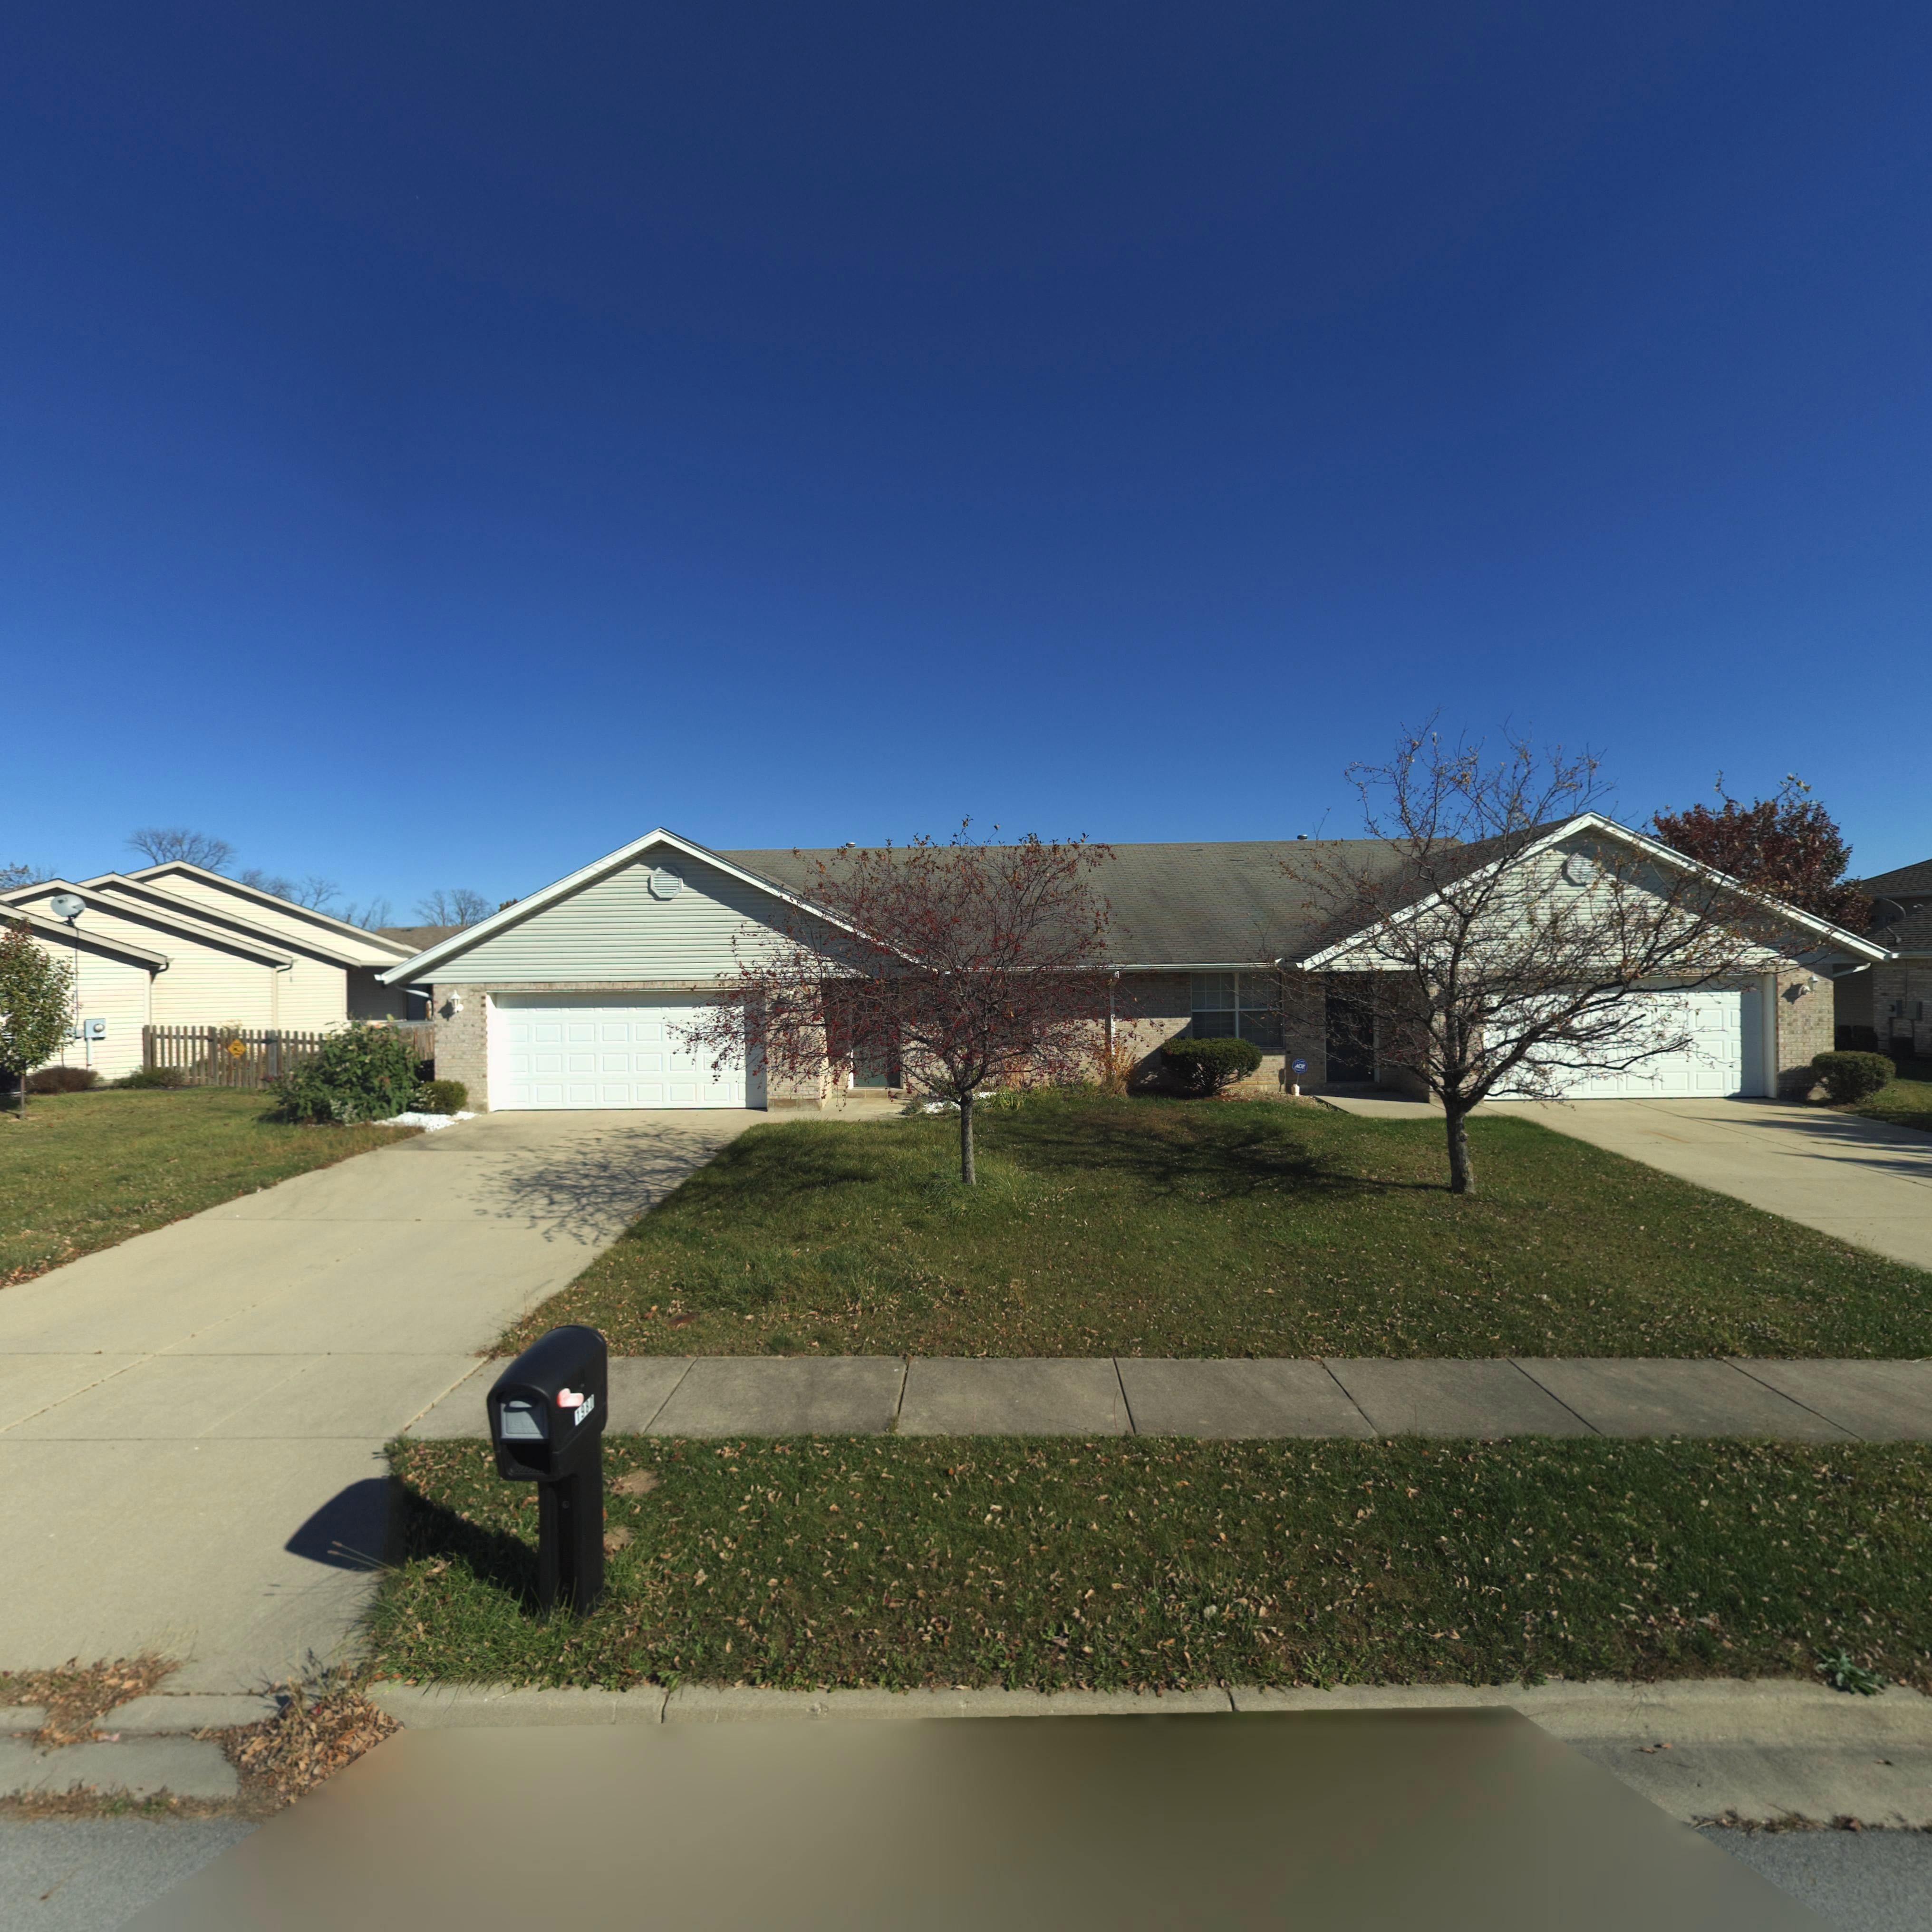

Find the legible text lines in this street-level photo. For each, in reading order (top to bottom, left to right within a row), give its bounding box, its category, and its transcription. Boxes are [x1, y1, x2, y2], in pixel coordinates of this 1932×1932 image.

[574, 1392, 595, 1425] StreetNumber: 198*